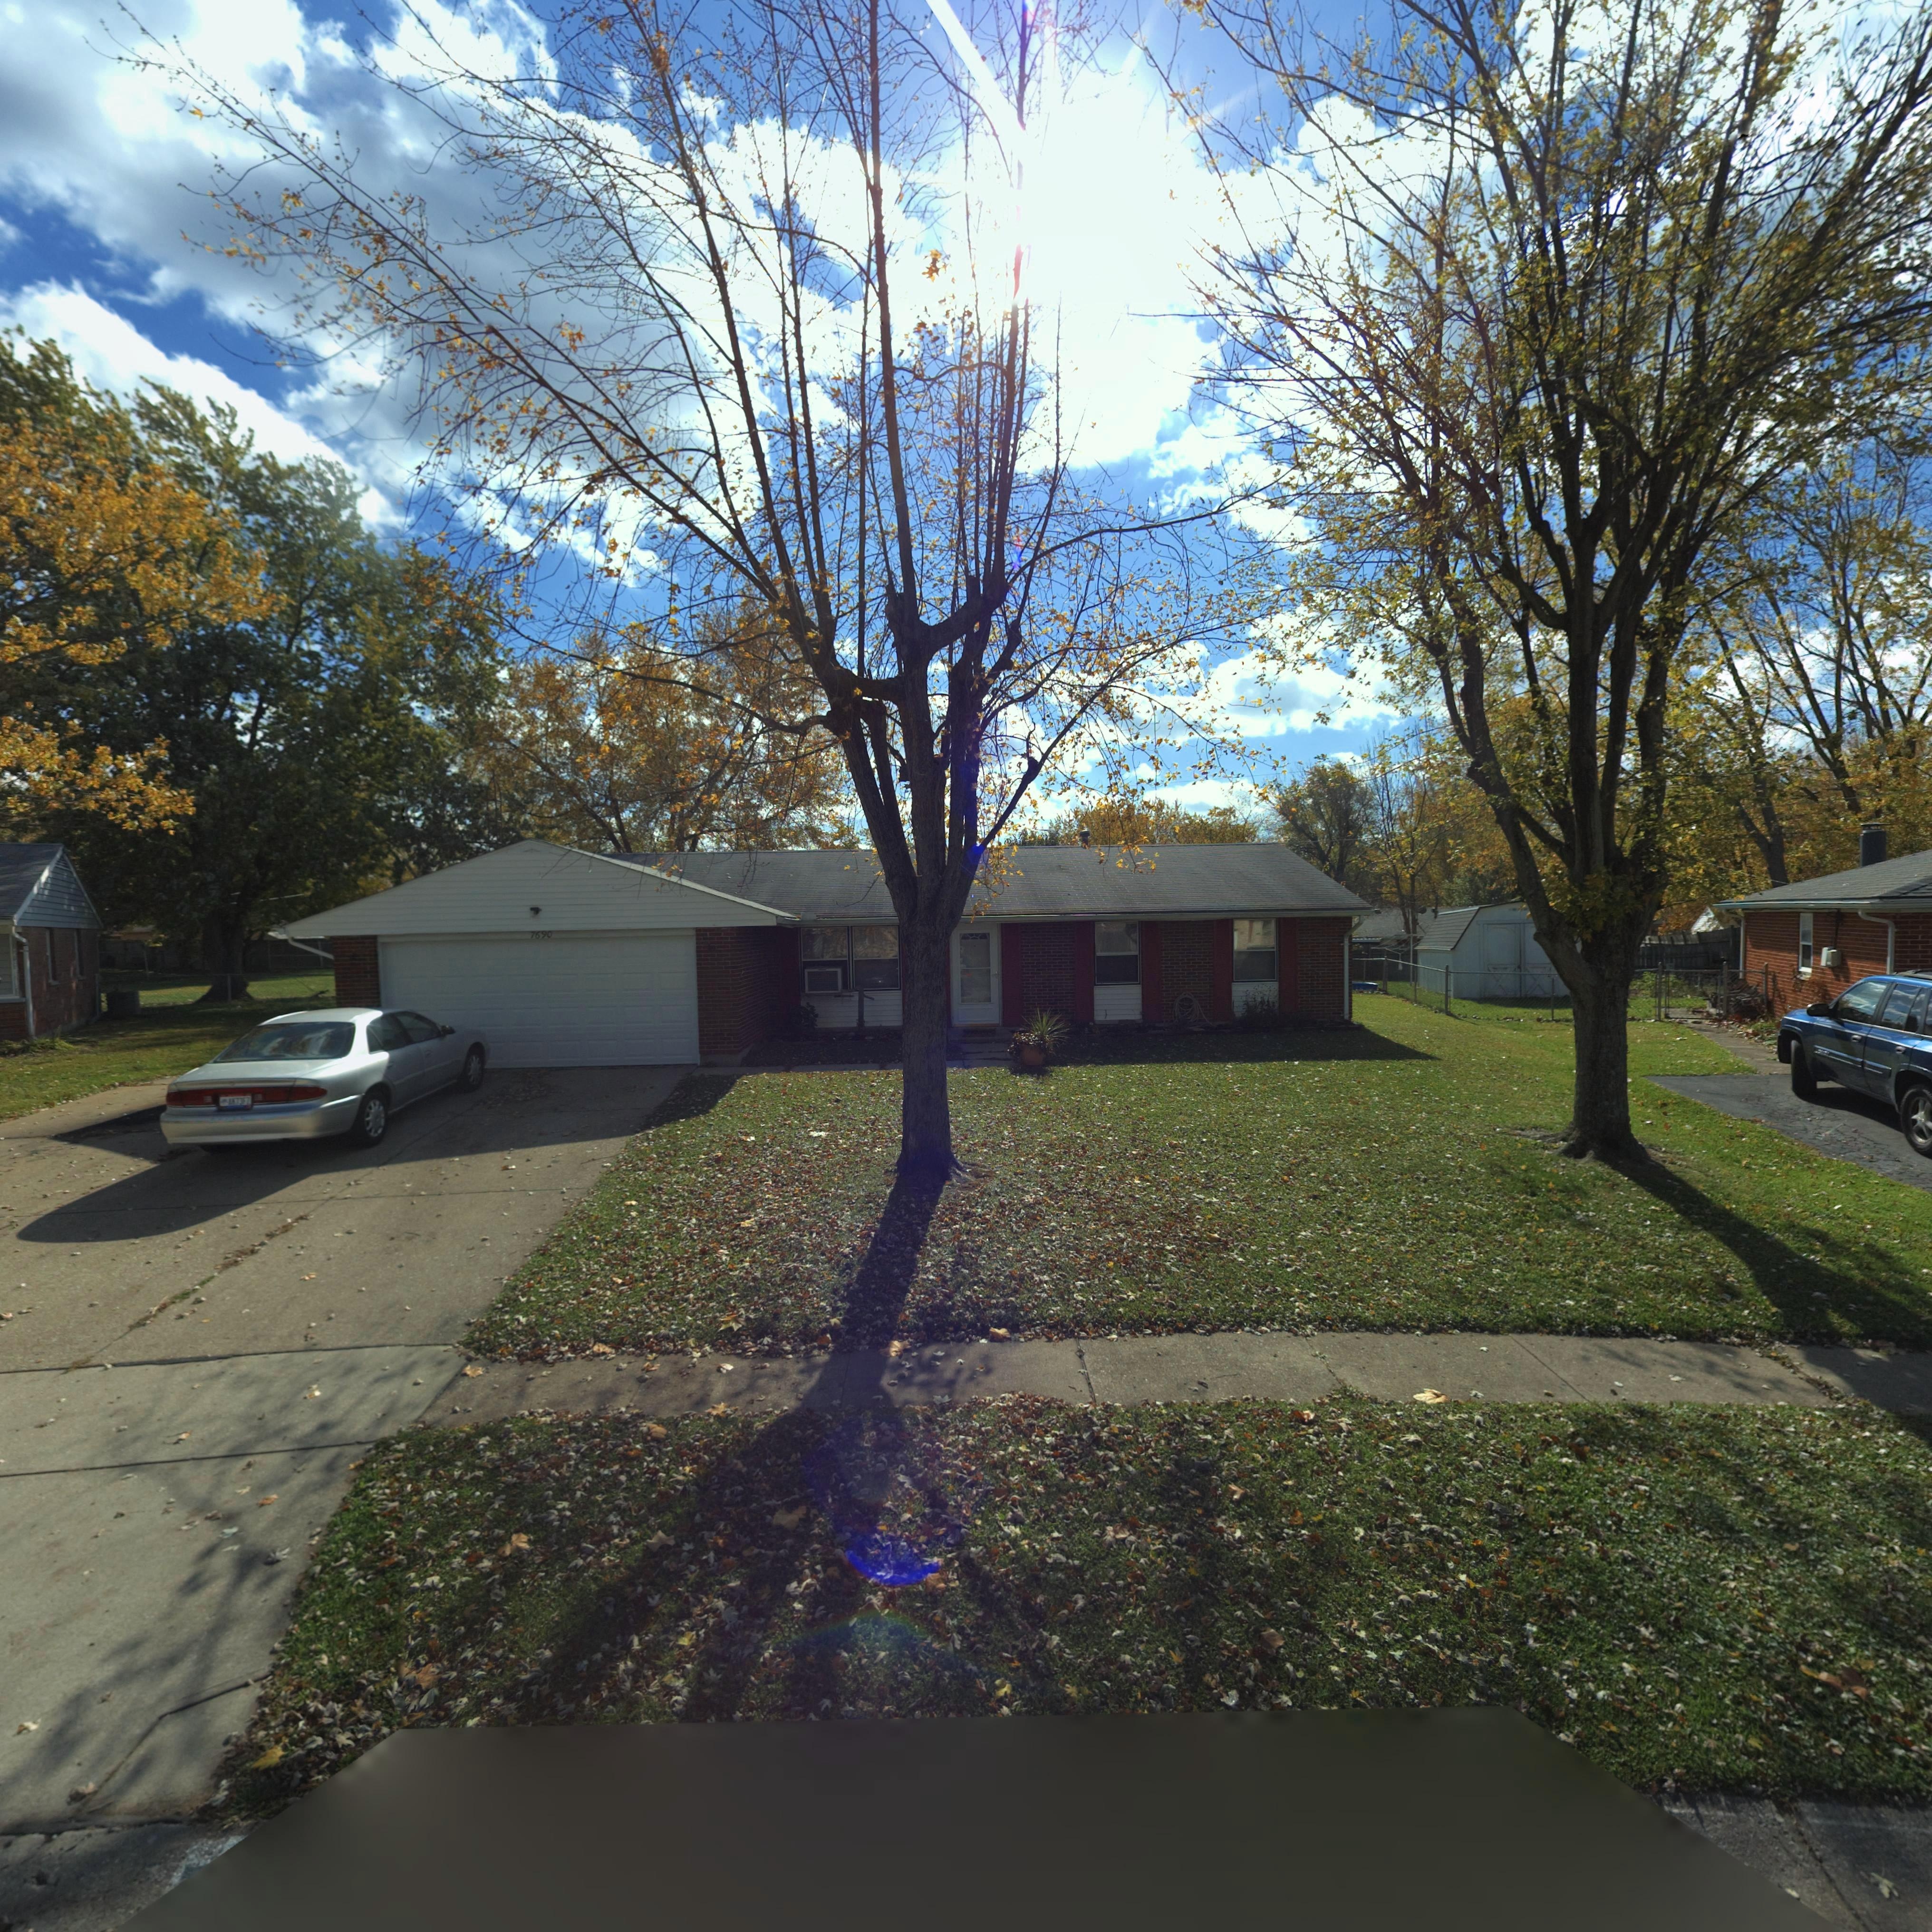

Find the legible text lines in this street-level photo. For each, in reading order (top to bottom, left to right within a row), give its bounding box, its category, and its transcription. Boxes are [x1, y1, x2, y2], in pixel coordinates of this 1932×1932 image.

[530, 930, 553, 939] StreetNumber: 7690